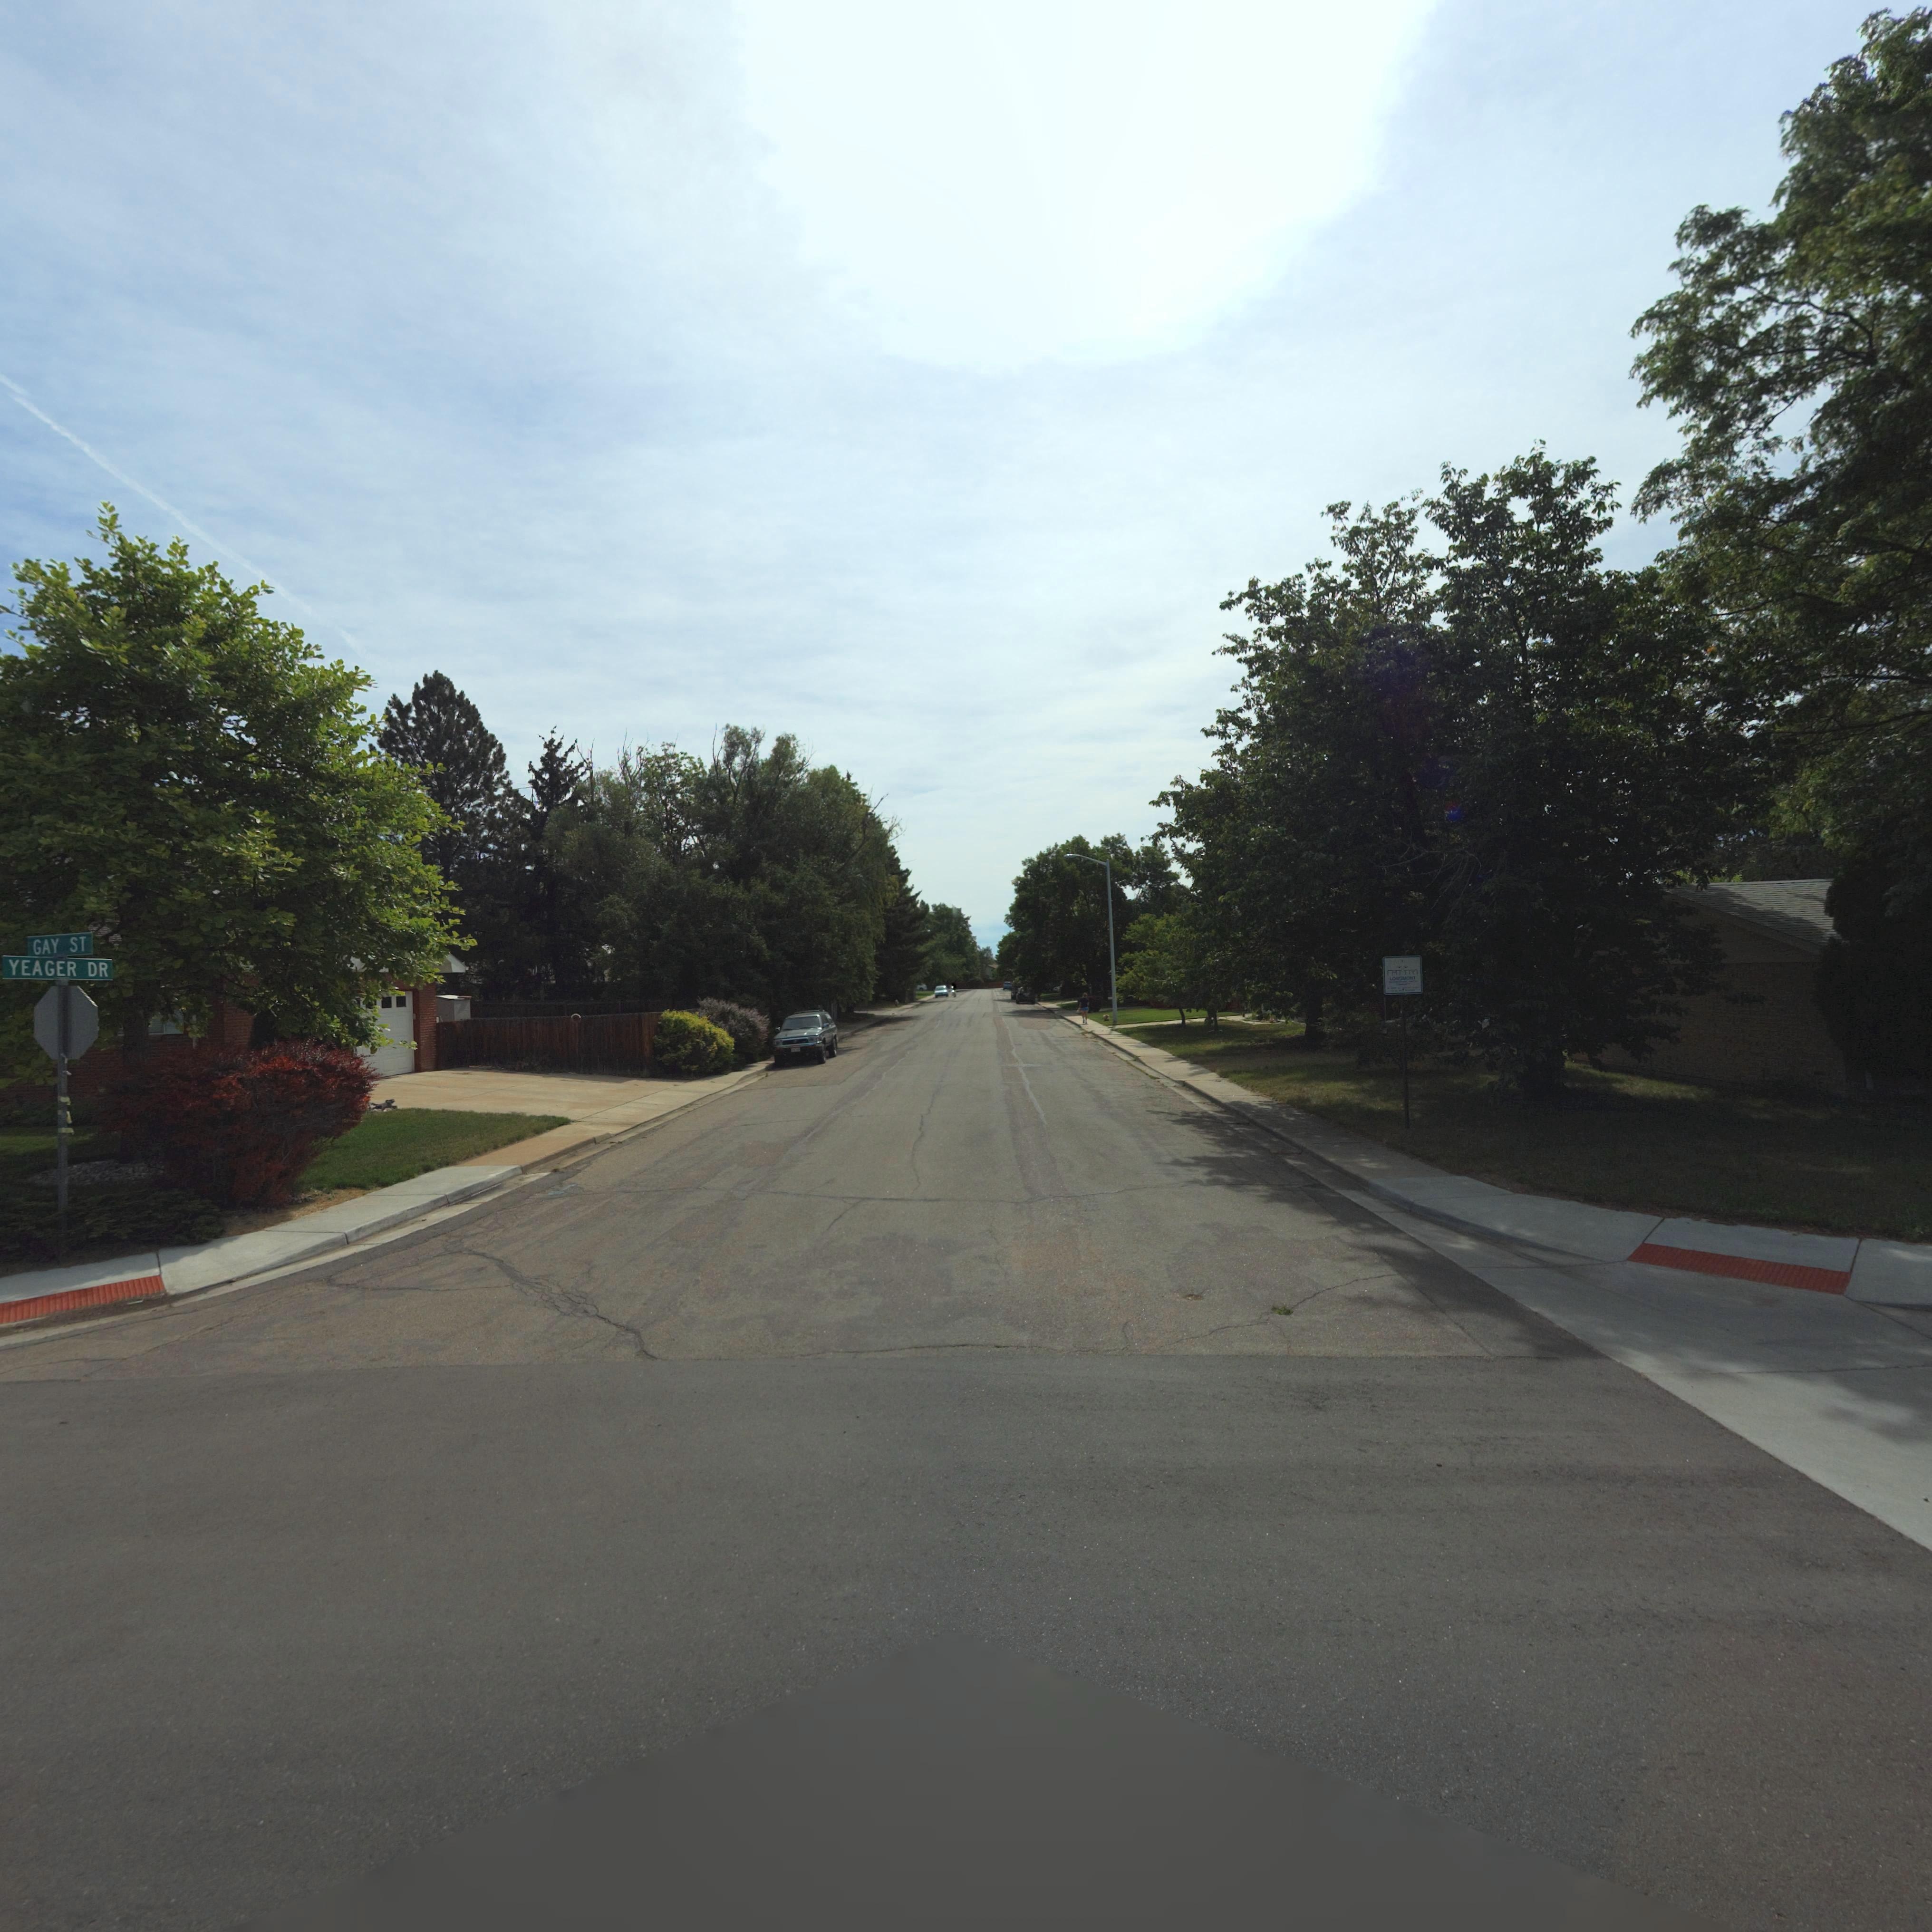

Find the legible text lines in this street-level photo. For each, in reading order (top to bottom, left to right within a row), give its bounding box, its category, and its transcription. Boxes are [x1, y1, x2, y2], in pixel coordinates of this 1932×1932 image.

[32, 935, 87, 955] StreetName: GAY ST
[8, 959, 108, 977] StreetName: YEAGER DR